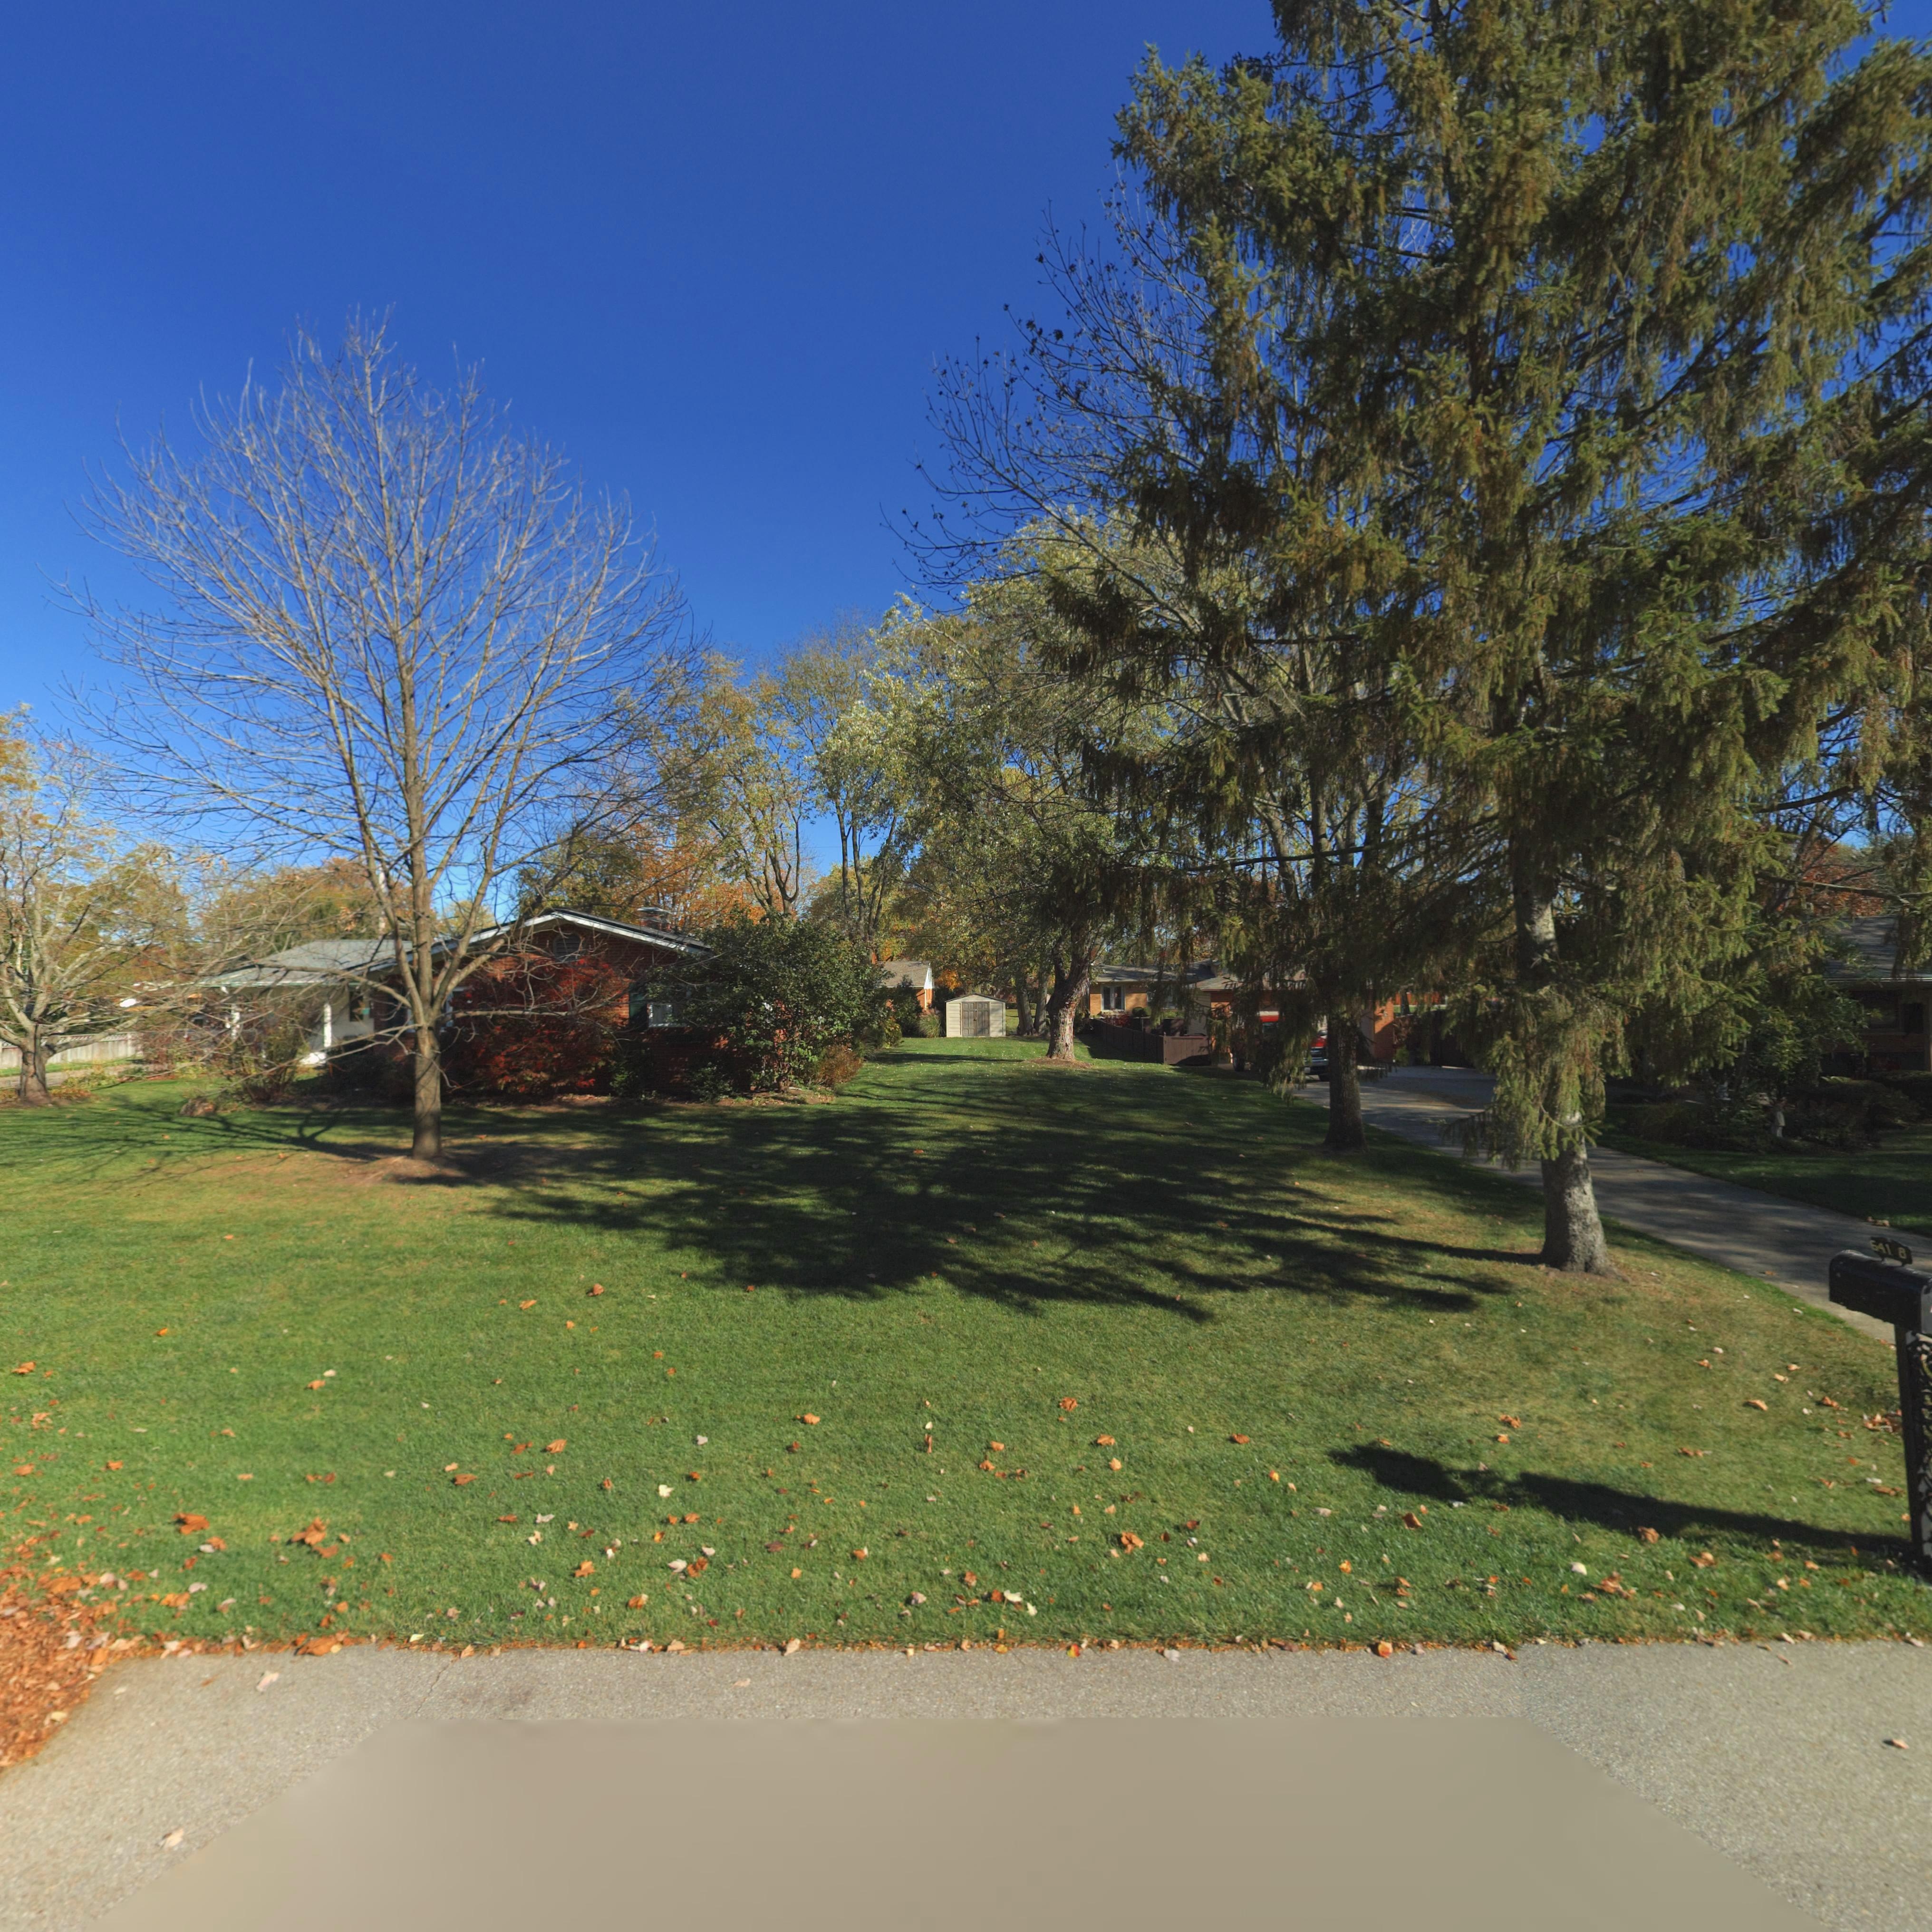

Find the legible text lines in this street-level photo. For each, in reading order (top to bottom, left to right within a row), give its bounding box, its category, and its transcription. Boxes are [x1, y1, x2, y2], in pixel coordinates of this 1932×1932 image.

[1869, 1239, 1907, 1260] StreetNumber: 641 8